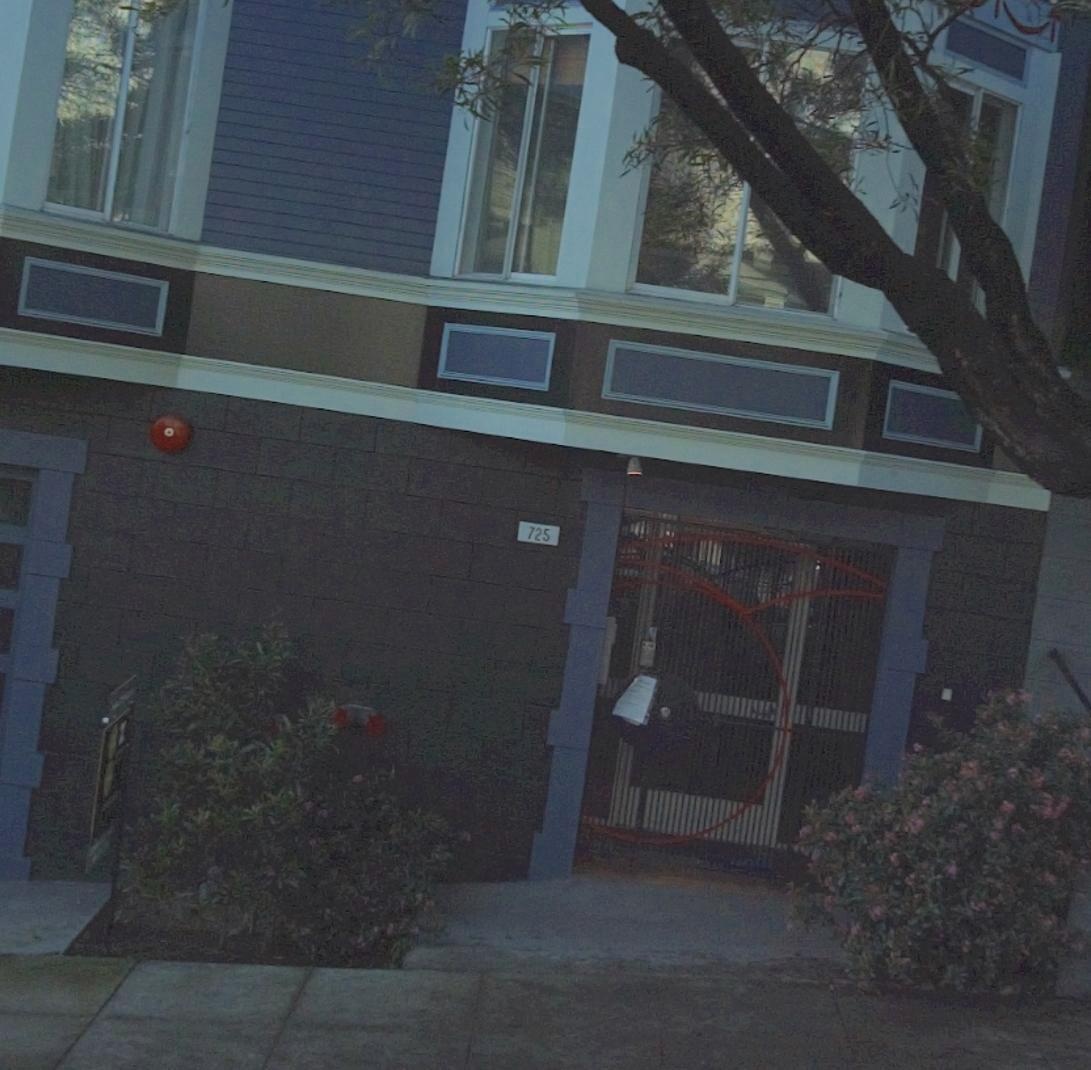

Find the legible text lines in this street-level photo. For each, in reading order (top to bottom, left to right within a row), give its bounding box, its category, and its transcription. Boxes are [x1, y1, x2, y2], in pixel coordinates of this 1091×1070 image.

[524, 524, 553, 545] StreetNumber: 725